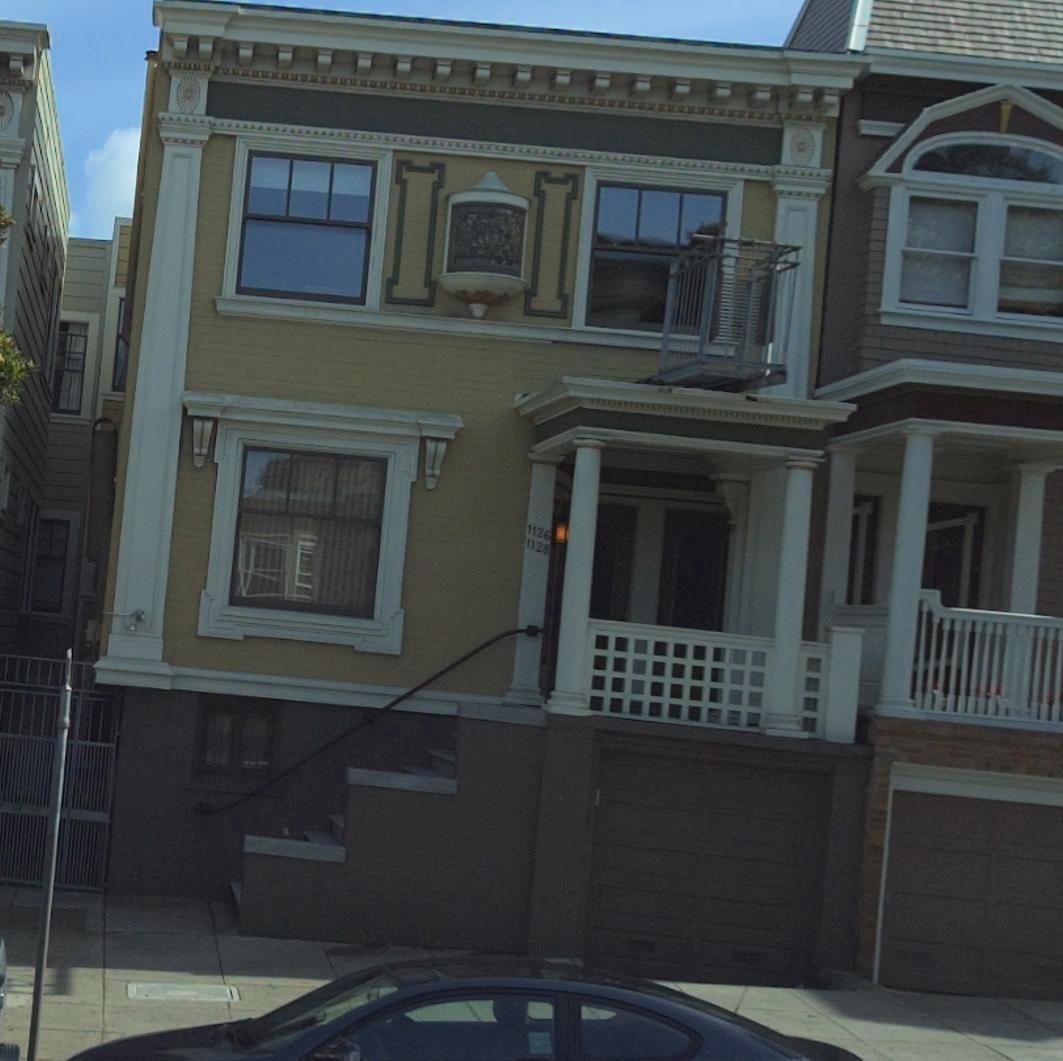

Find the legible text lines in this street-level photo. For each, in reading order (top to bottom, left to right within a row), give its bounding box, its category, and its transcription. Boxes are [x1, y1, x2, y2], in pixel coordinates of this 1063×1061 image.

[526, 522, 552, 542] StreetNumber: 1126
[525, 535, 552, 559] StreetNumber: 1128